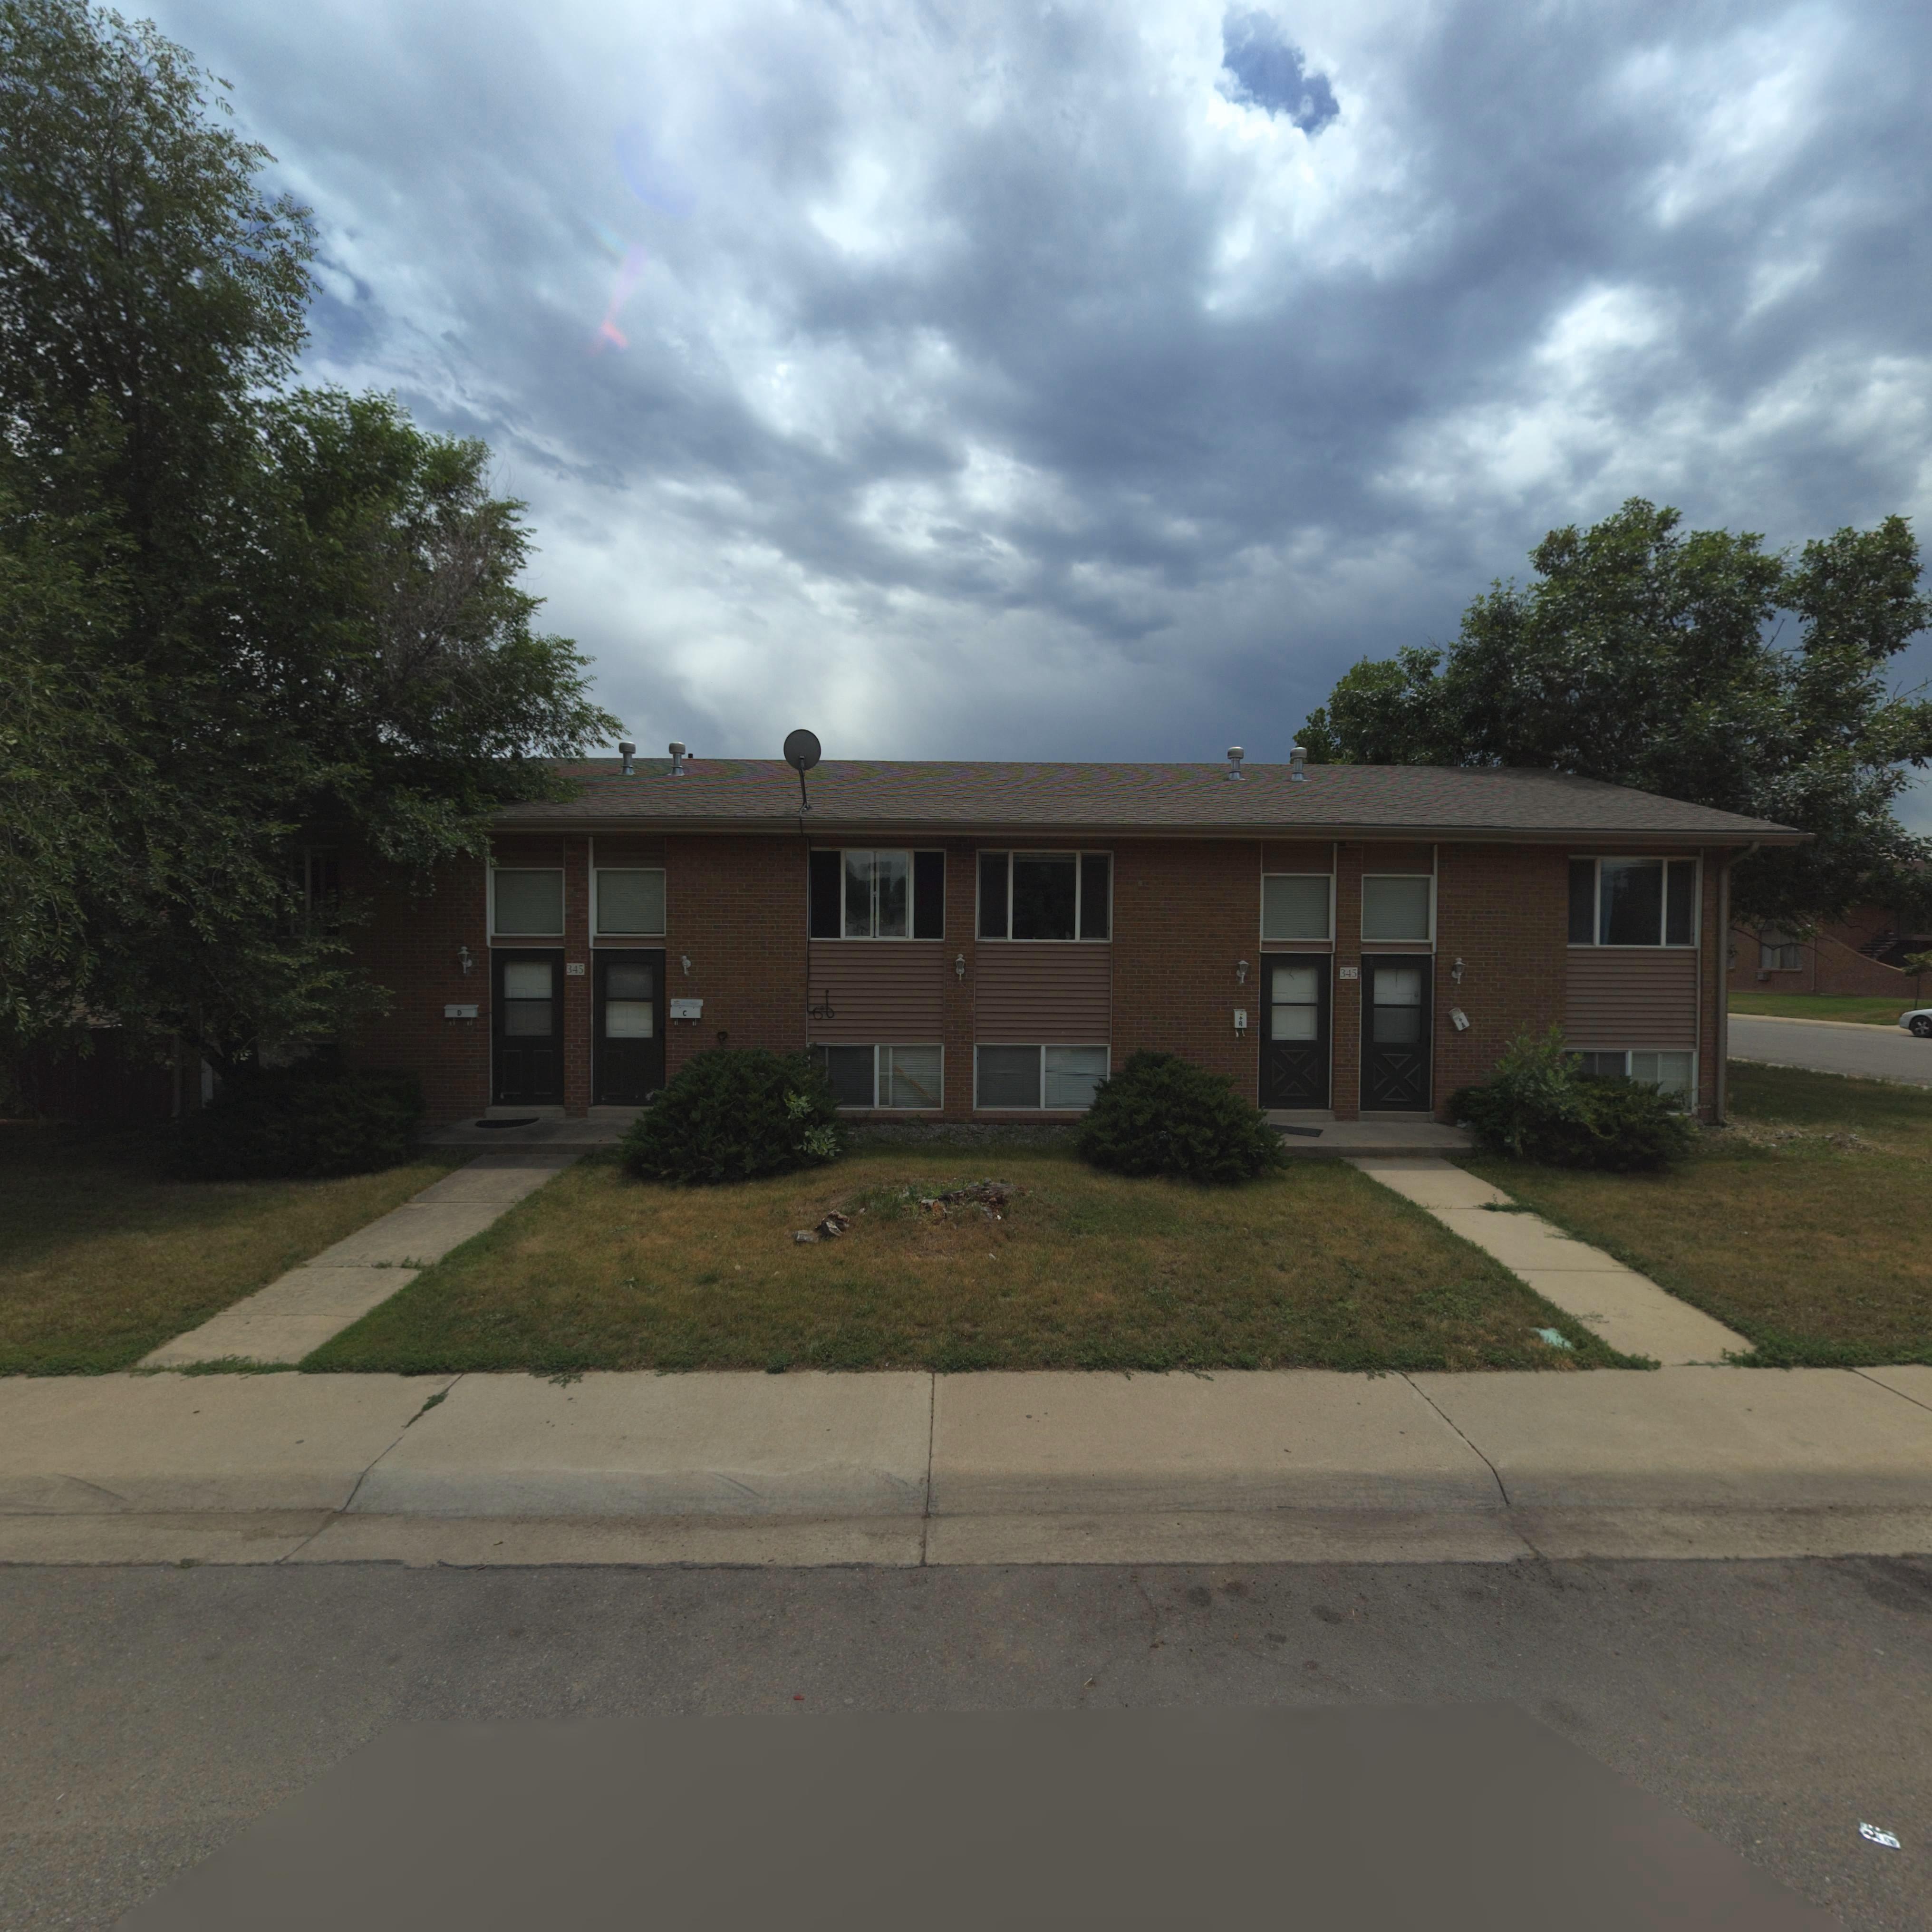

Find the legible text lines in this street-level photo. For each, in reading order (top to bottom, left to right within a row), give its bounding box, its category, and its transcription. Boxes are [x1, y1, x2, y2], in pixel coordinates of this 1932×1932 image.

[566, 965, 583, 974] StreetNumber: 345
[1340, 968, 1357, 977] StreetNumber: 345